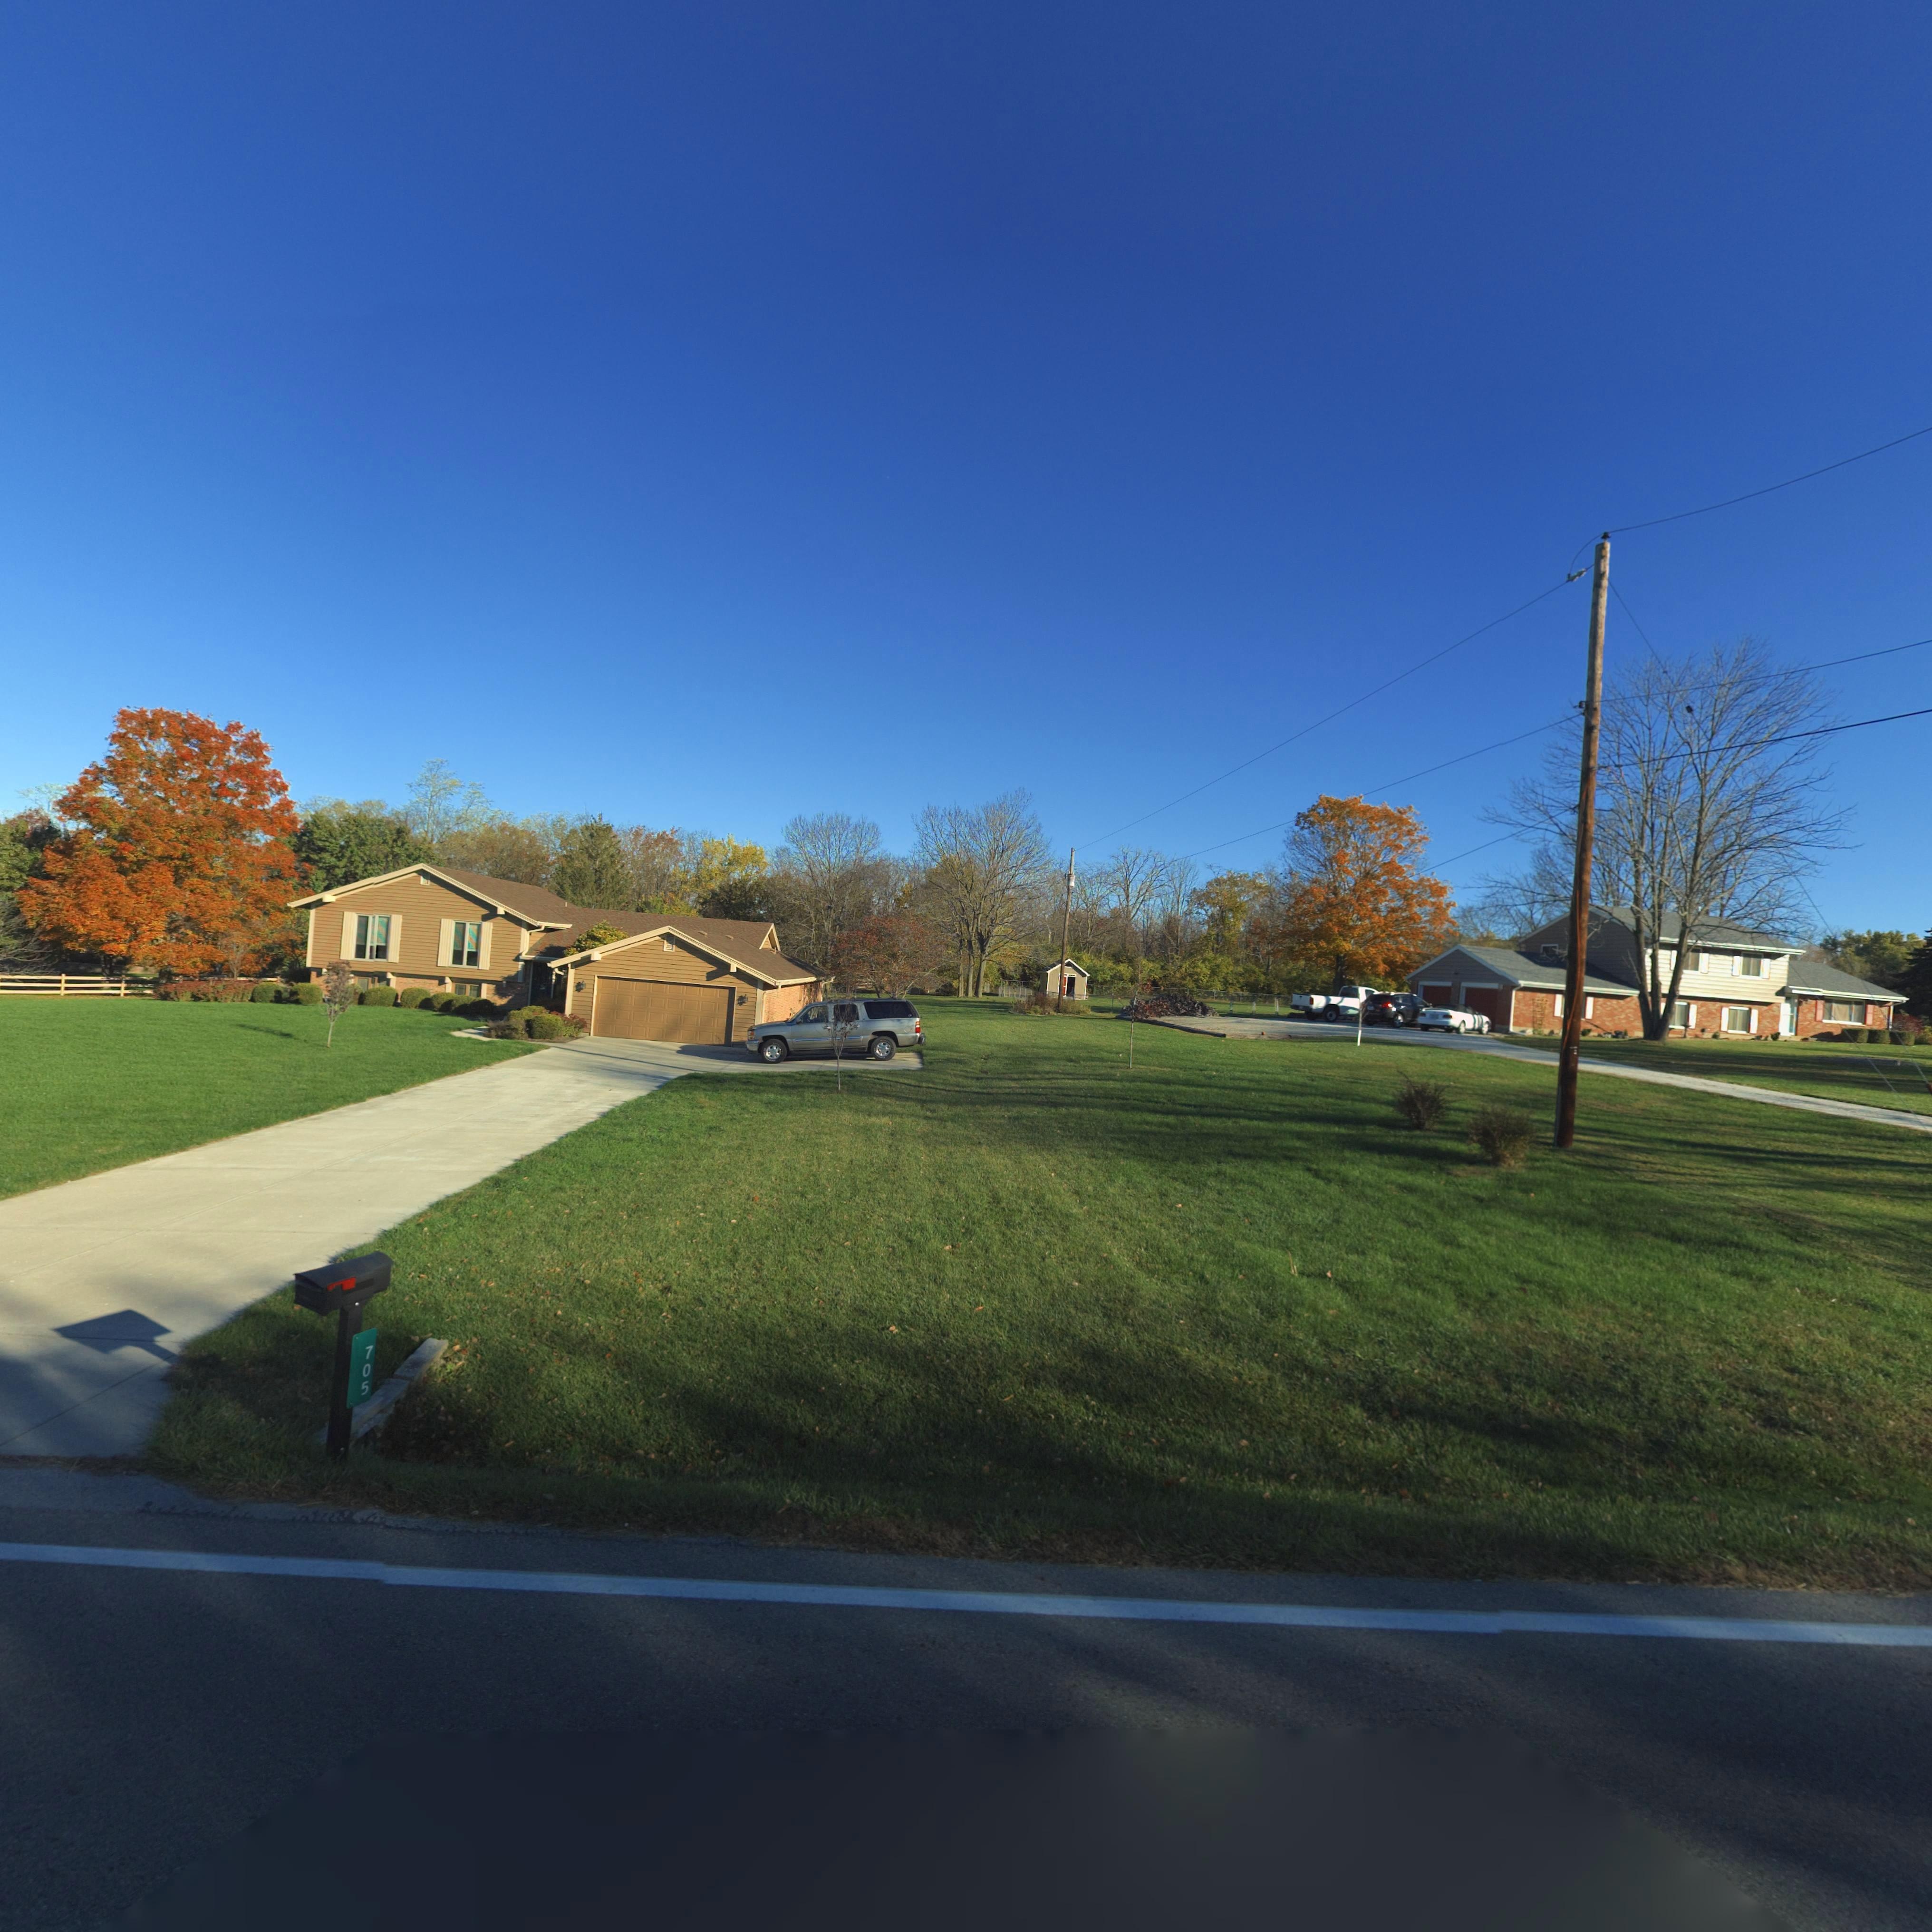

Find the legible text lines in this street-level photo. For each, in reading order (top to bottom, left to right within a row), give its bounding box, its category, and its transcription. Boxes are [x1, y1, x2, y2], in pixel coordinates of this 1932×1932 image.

[360, 1343, 375, 1397] StreetNumber: 705